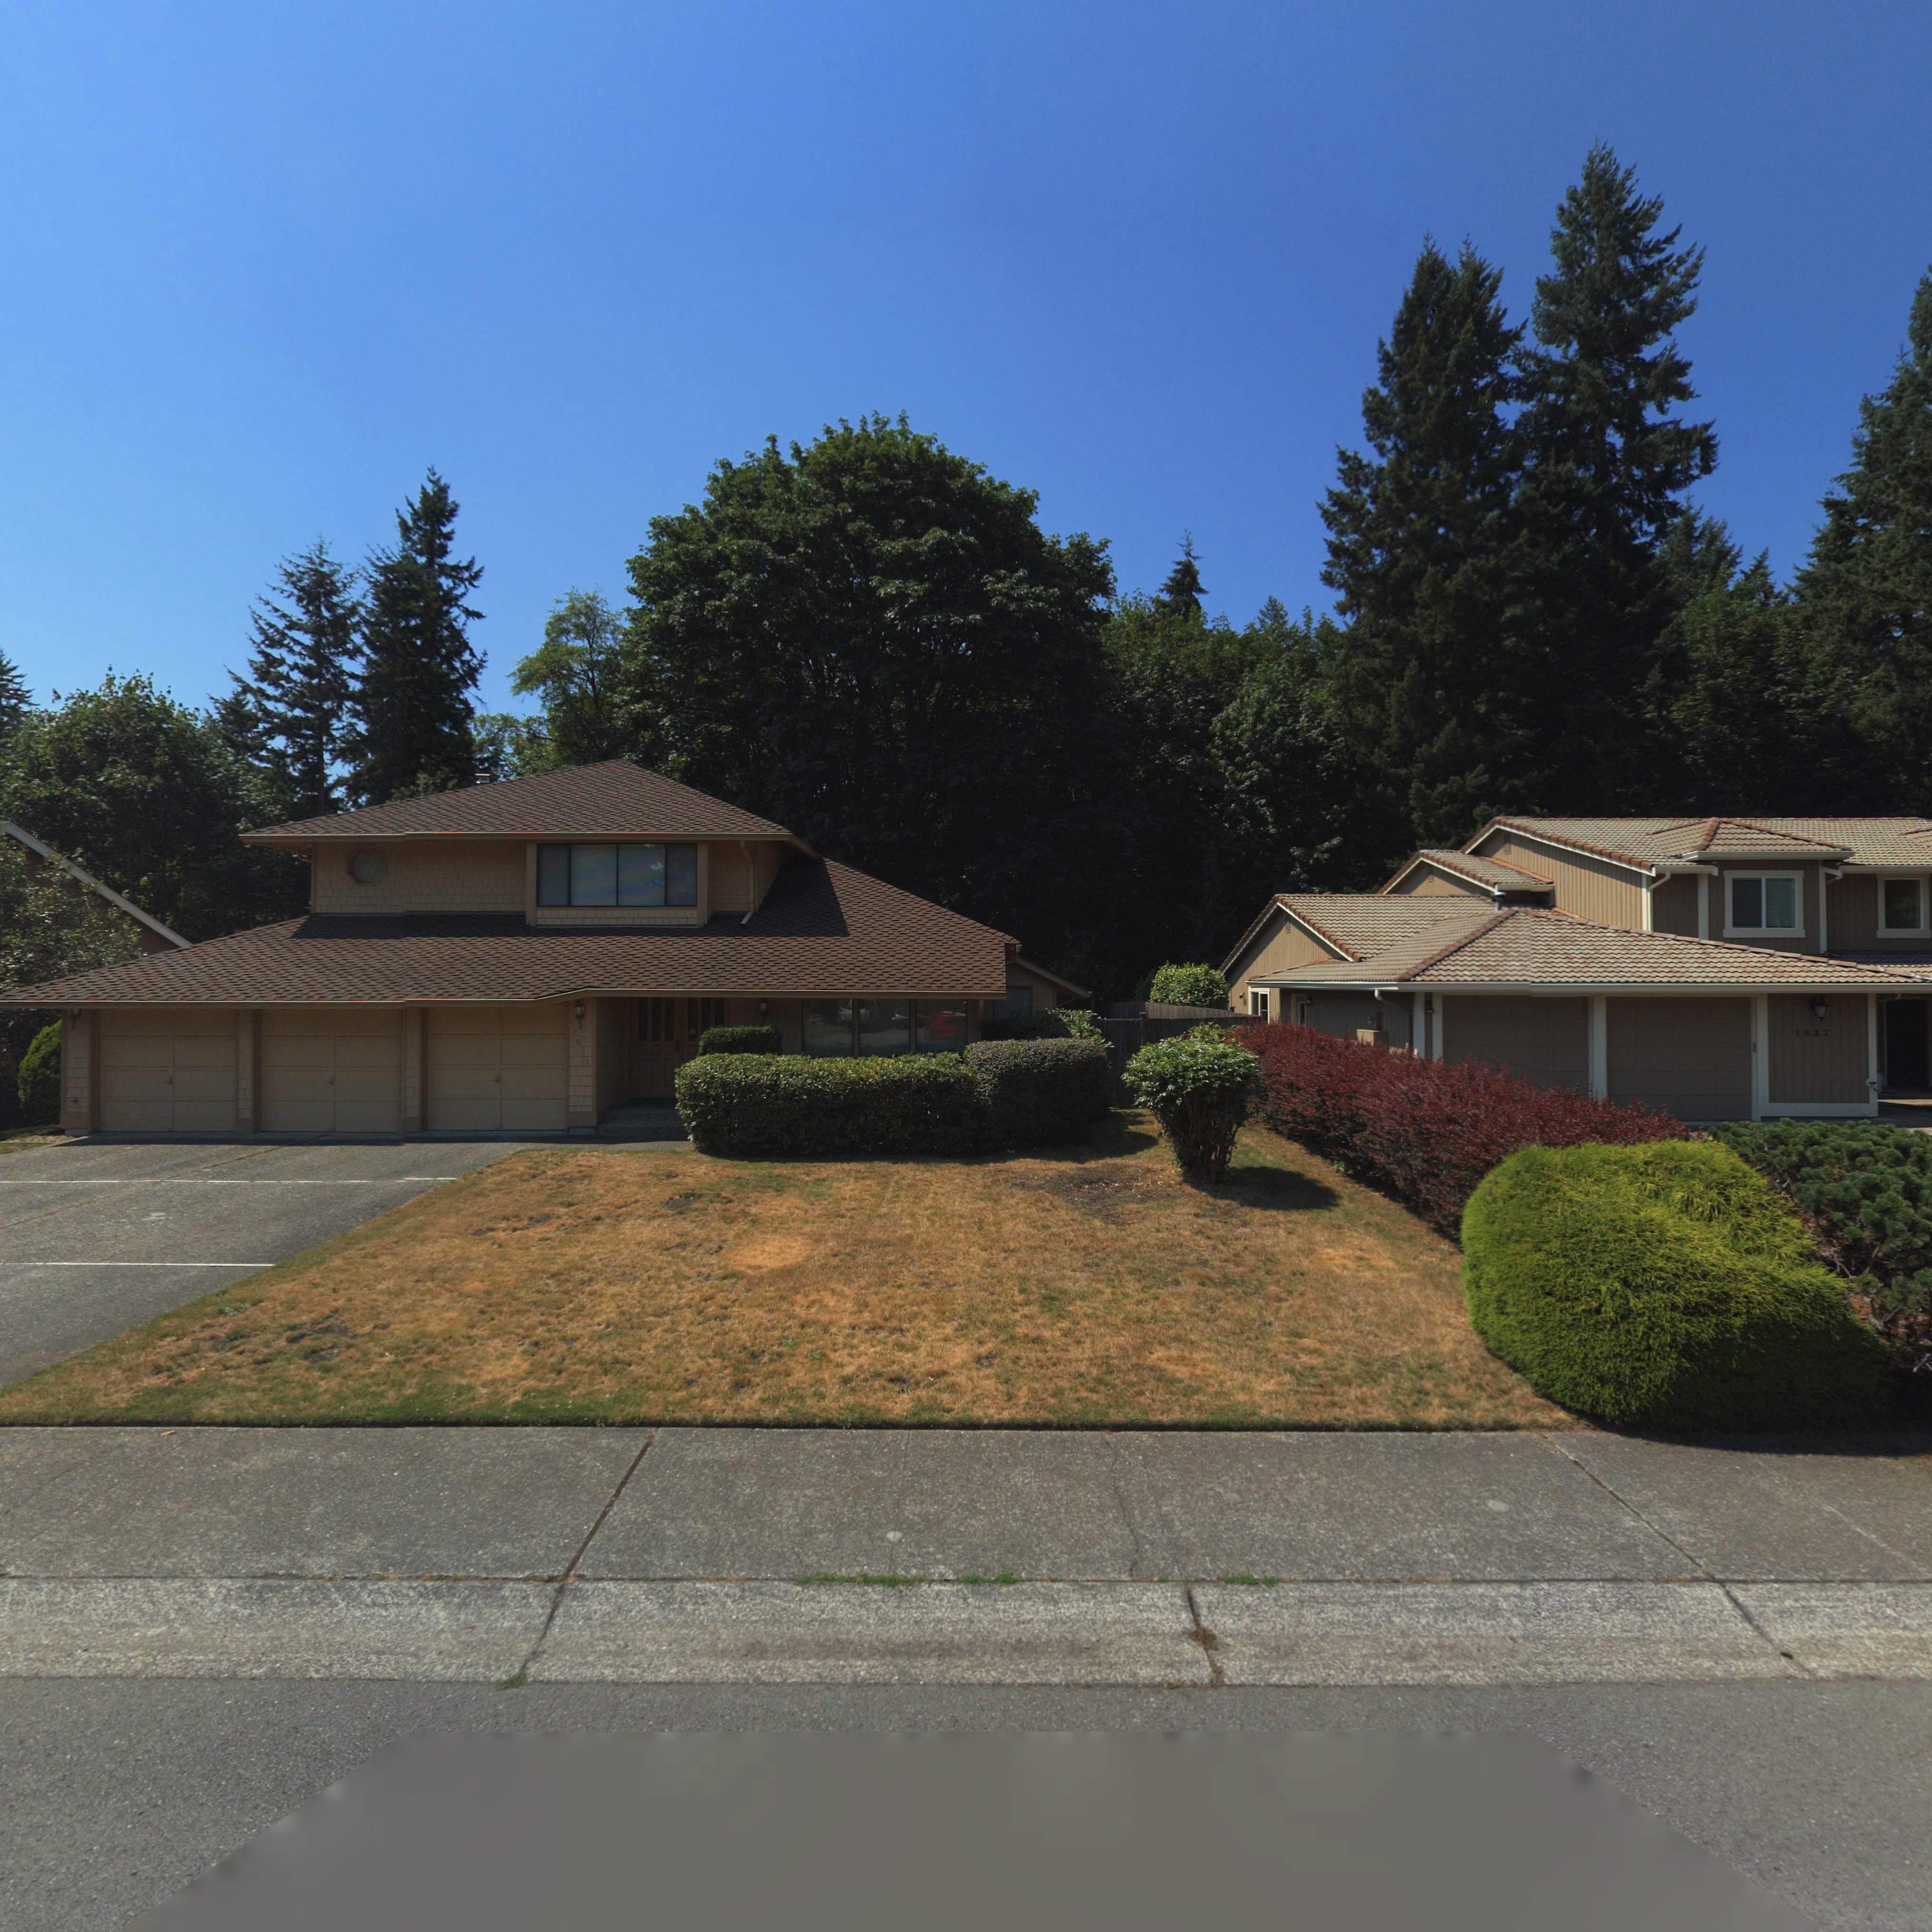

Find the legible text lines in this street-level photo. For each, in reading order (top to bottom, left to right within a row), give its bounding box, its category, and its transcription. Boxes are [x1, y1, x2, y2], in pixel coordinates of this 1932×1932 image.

[572, 1026, 590, 1066] StreetNumber: 1811
[1796, 1029, 1829, 1036] StreetNumber: 1827